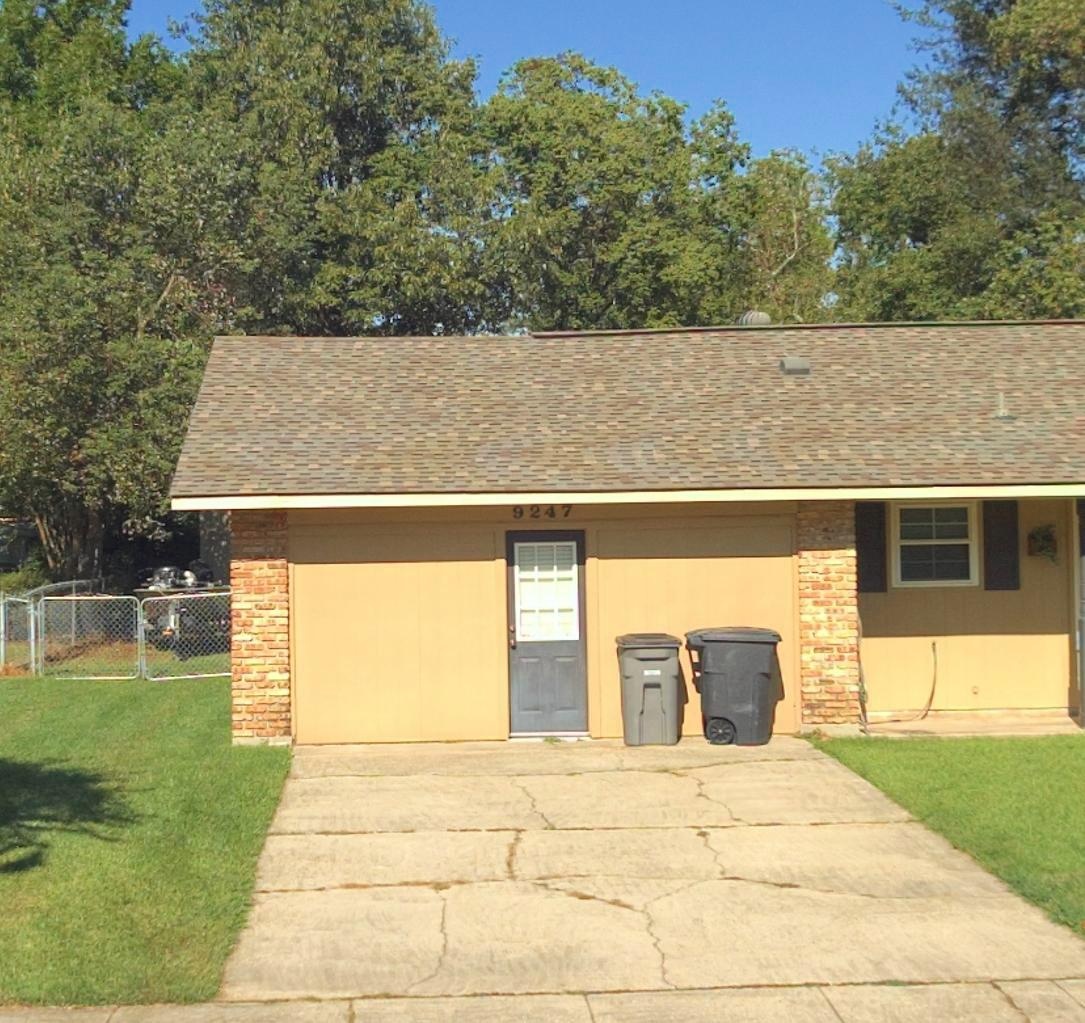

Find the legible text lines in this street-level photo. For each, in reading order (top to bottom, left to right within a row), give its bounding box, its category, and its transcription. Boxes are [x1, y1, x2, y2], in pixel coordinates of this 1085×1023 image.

[513, 506, 573, 520] StreetNumber: 9247